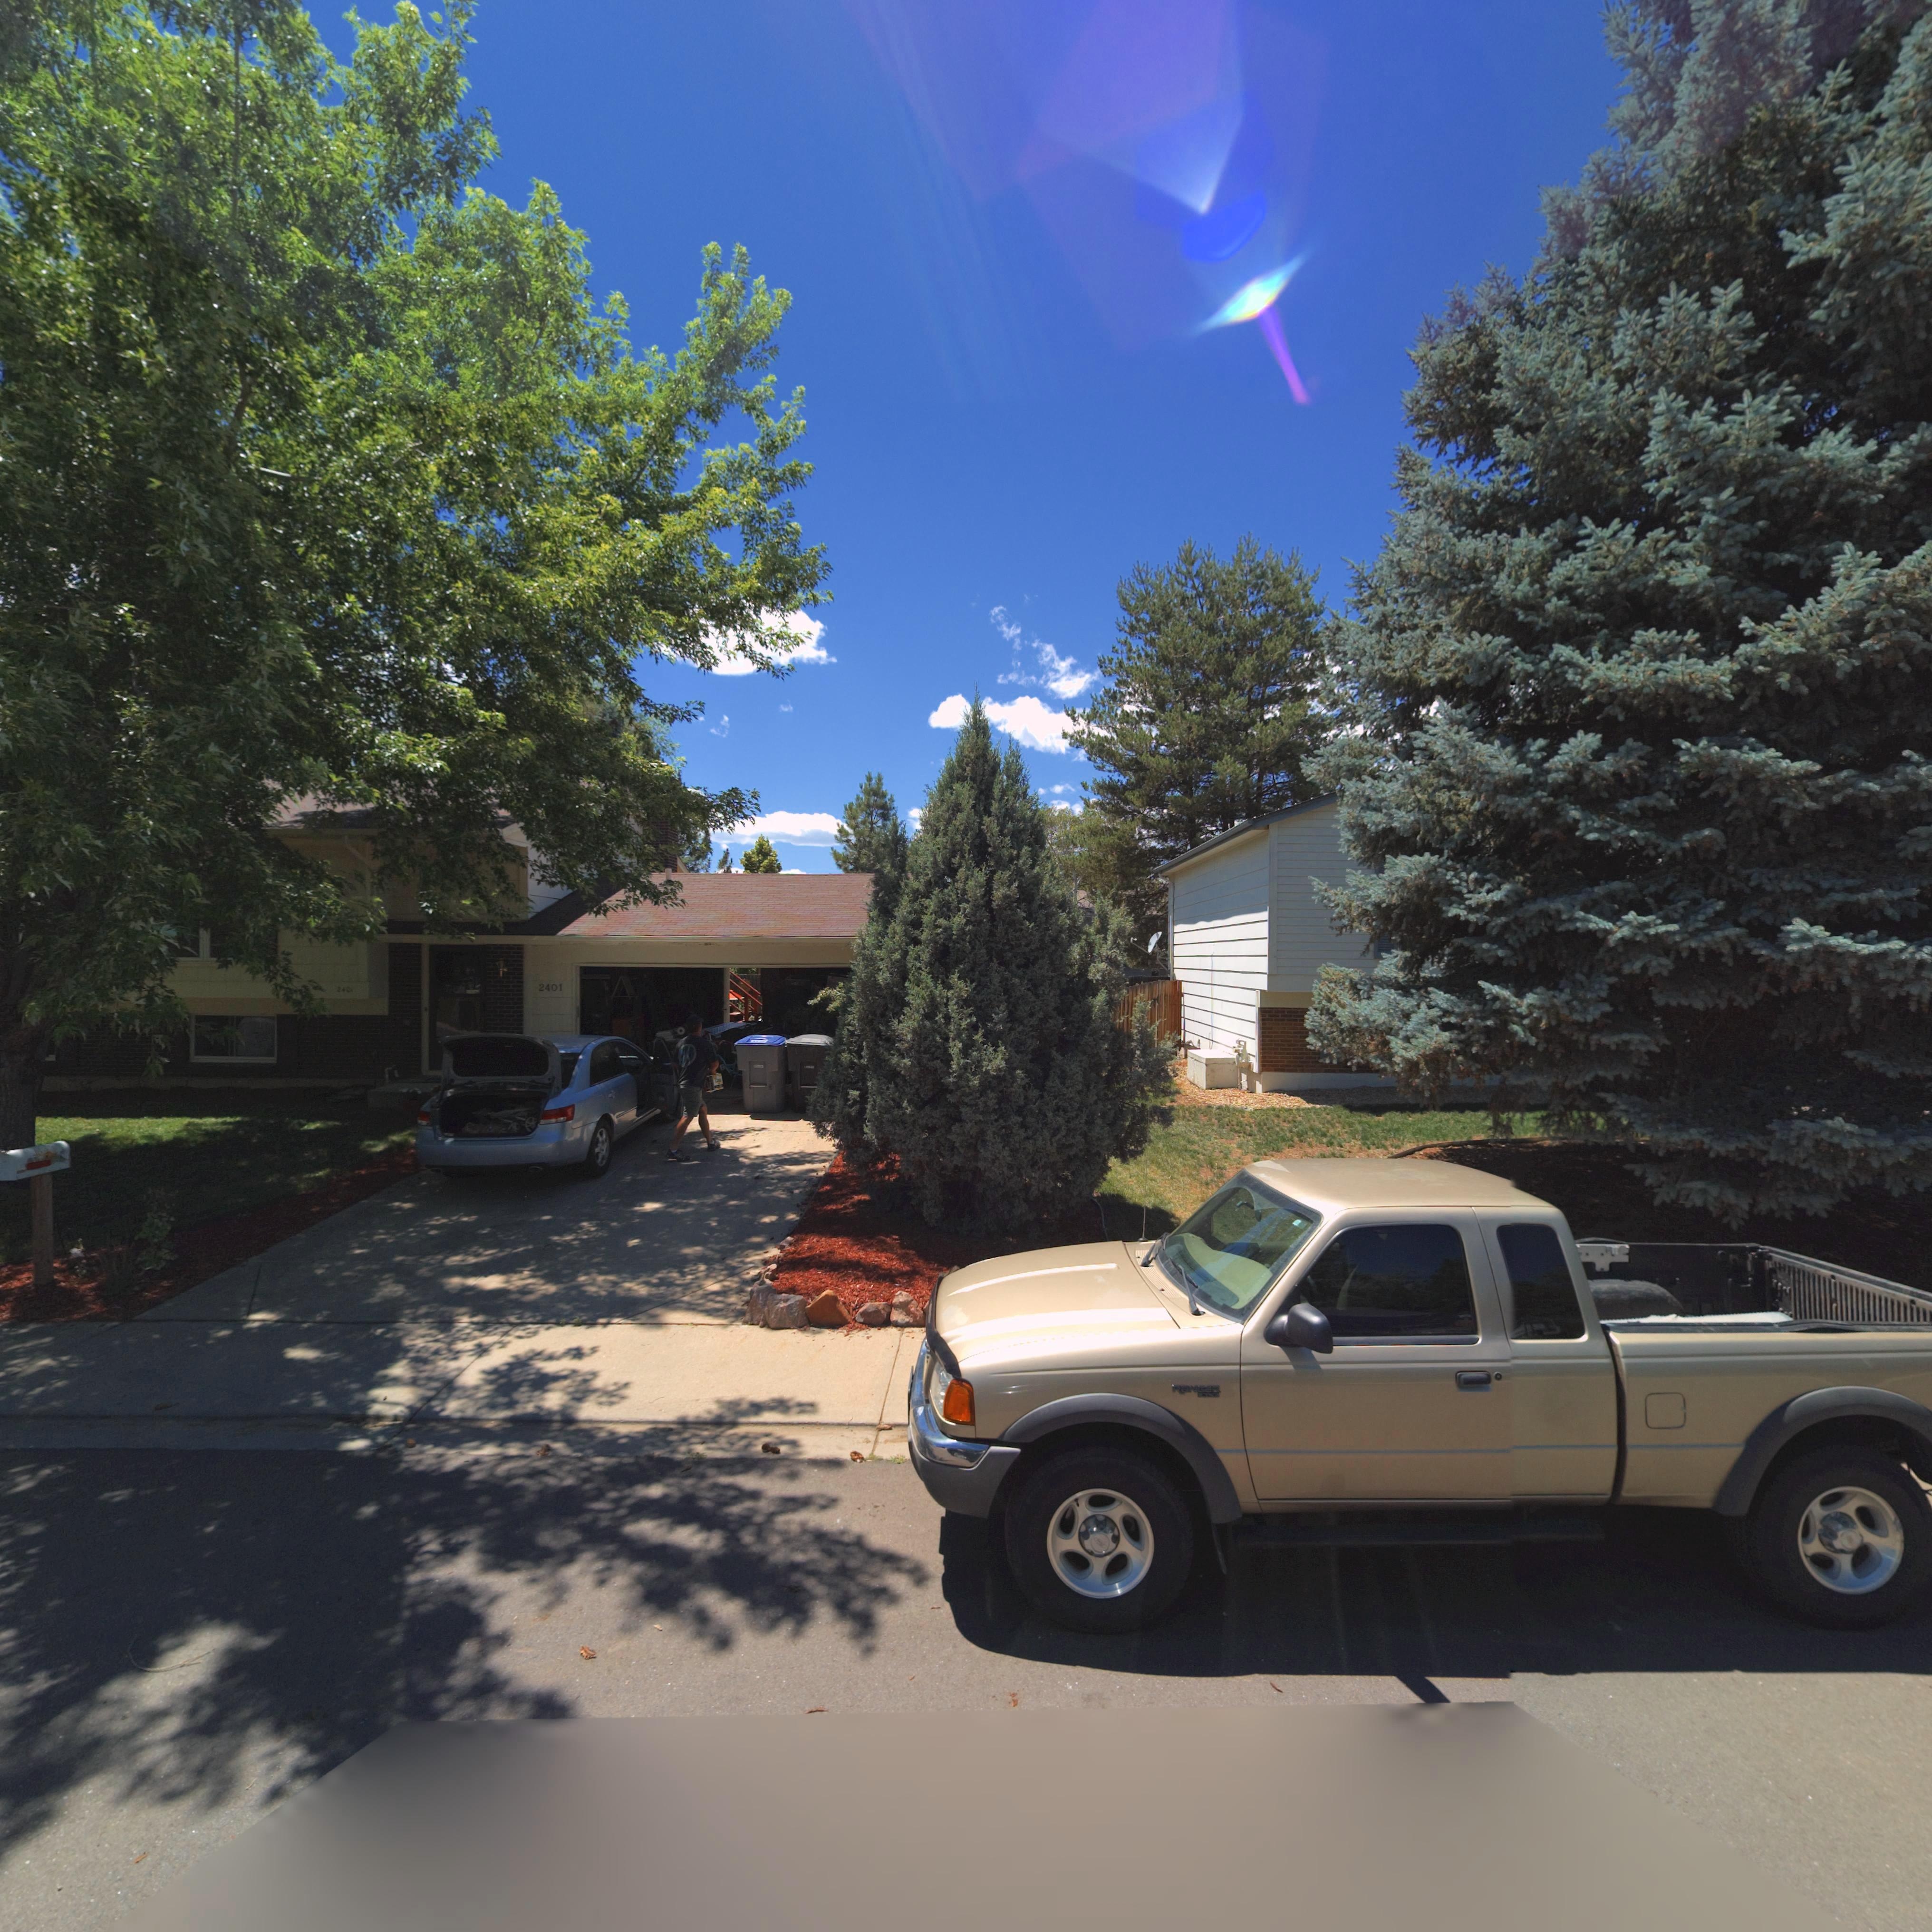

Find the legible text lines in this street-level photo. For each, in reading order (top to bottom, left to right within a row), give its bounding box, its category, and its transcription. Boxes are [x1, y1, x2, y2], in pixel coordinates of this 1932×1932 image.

[337, 986, 354, 993] StreetNumber: 240*
[537, 982, 563, 992] StreetNumber: 2401